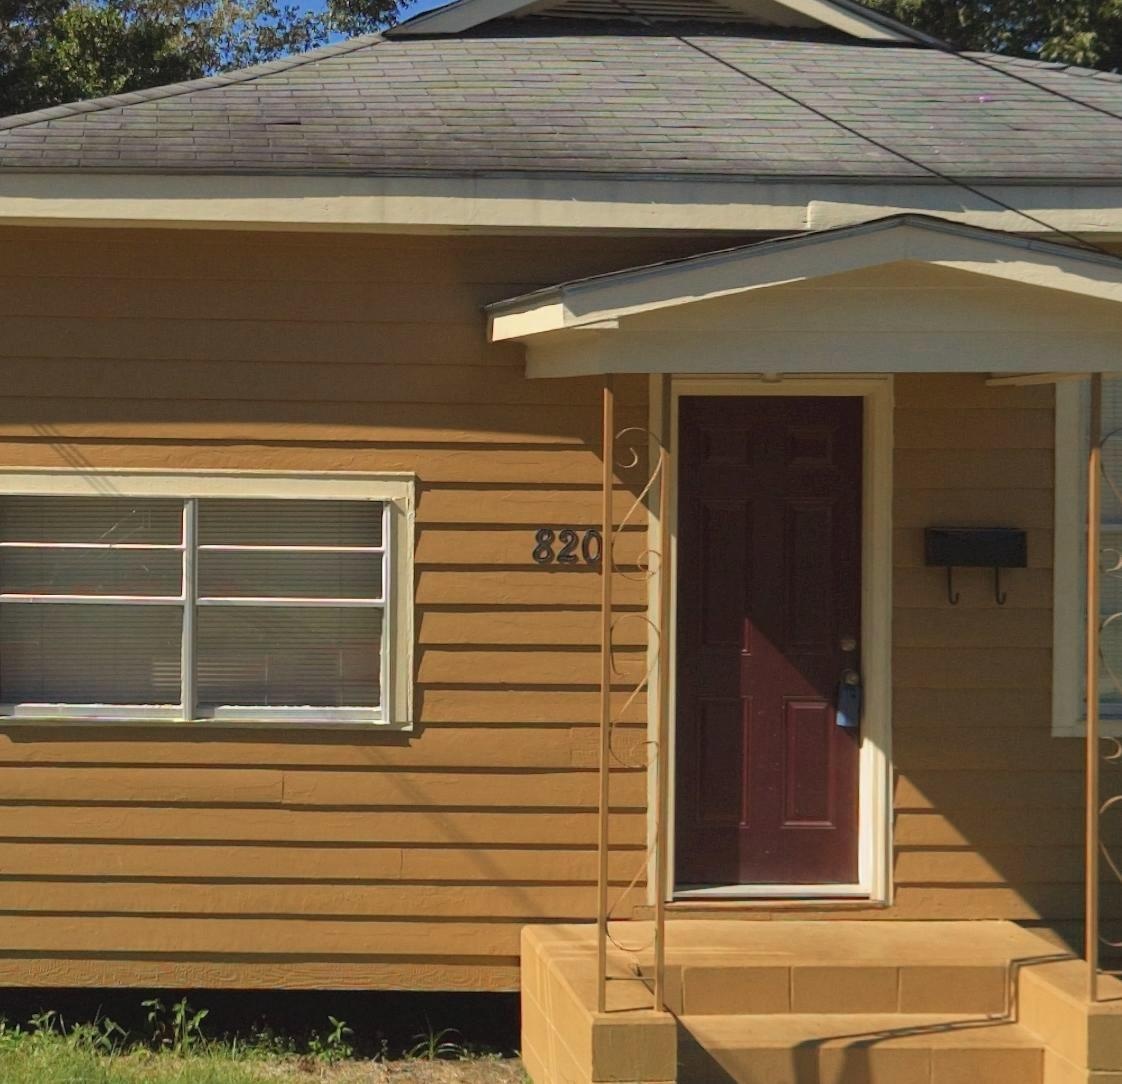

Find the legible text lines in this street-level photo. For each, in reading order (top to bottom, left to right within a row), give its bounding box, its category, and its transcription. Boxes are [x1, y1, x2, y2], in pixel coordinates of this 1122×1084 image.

[530, 527, 604, 566] StreetNumber: 820